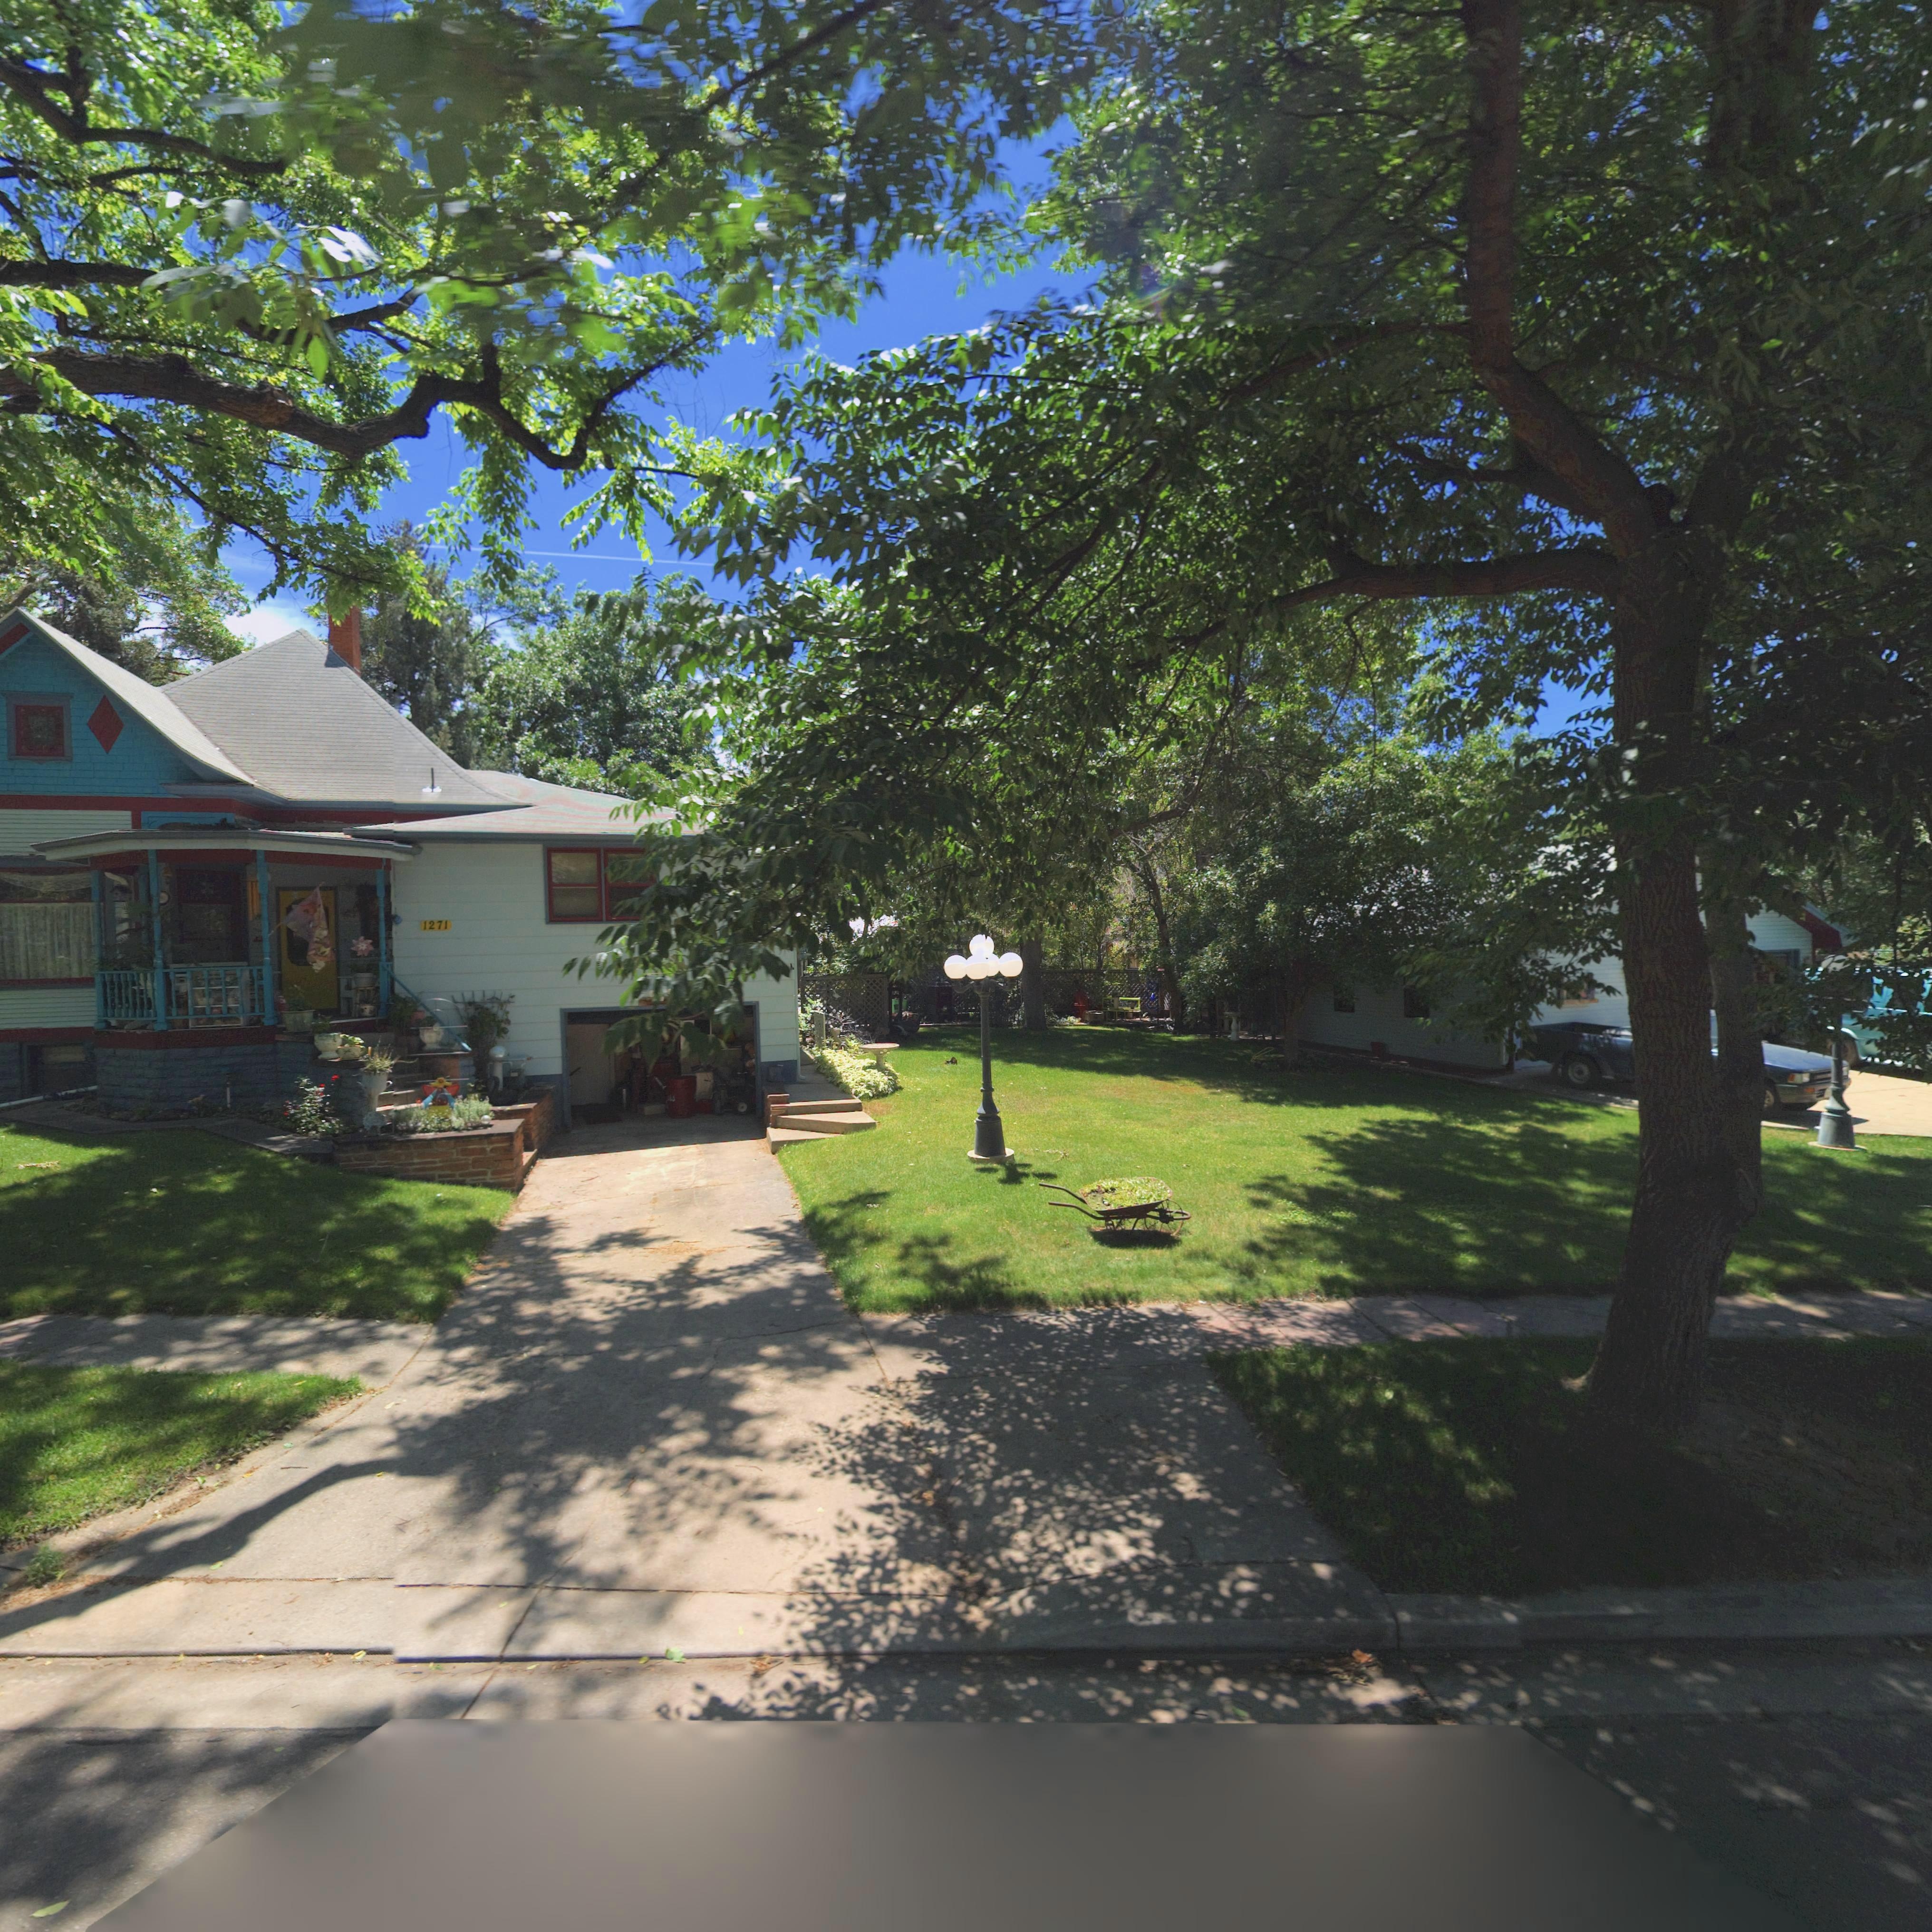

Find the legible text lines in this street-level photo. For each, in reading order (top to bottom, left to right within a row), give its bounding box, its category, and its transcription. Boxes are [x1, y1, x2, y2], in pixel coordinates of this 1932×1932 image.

[423, 920, 447, 929] StreetNumber: 1271